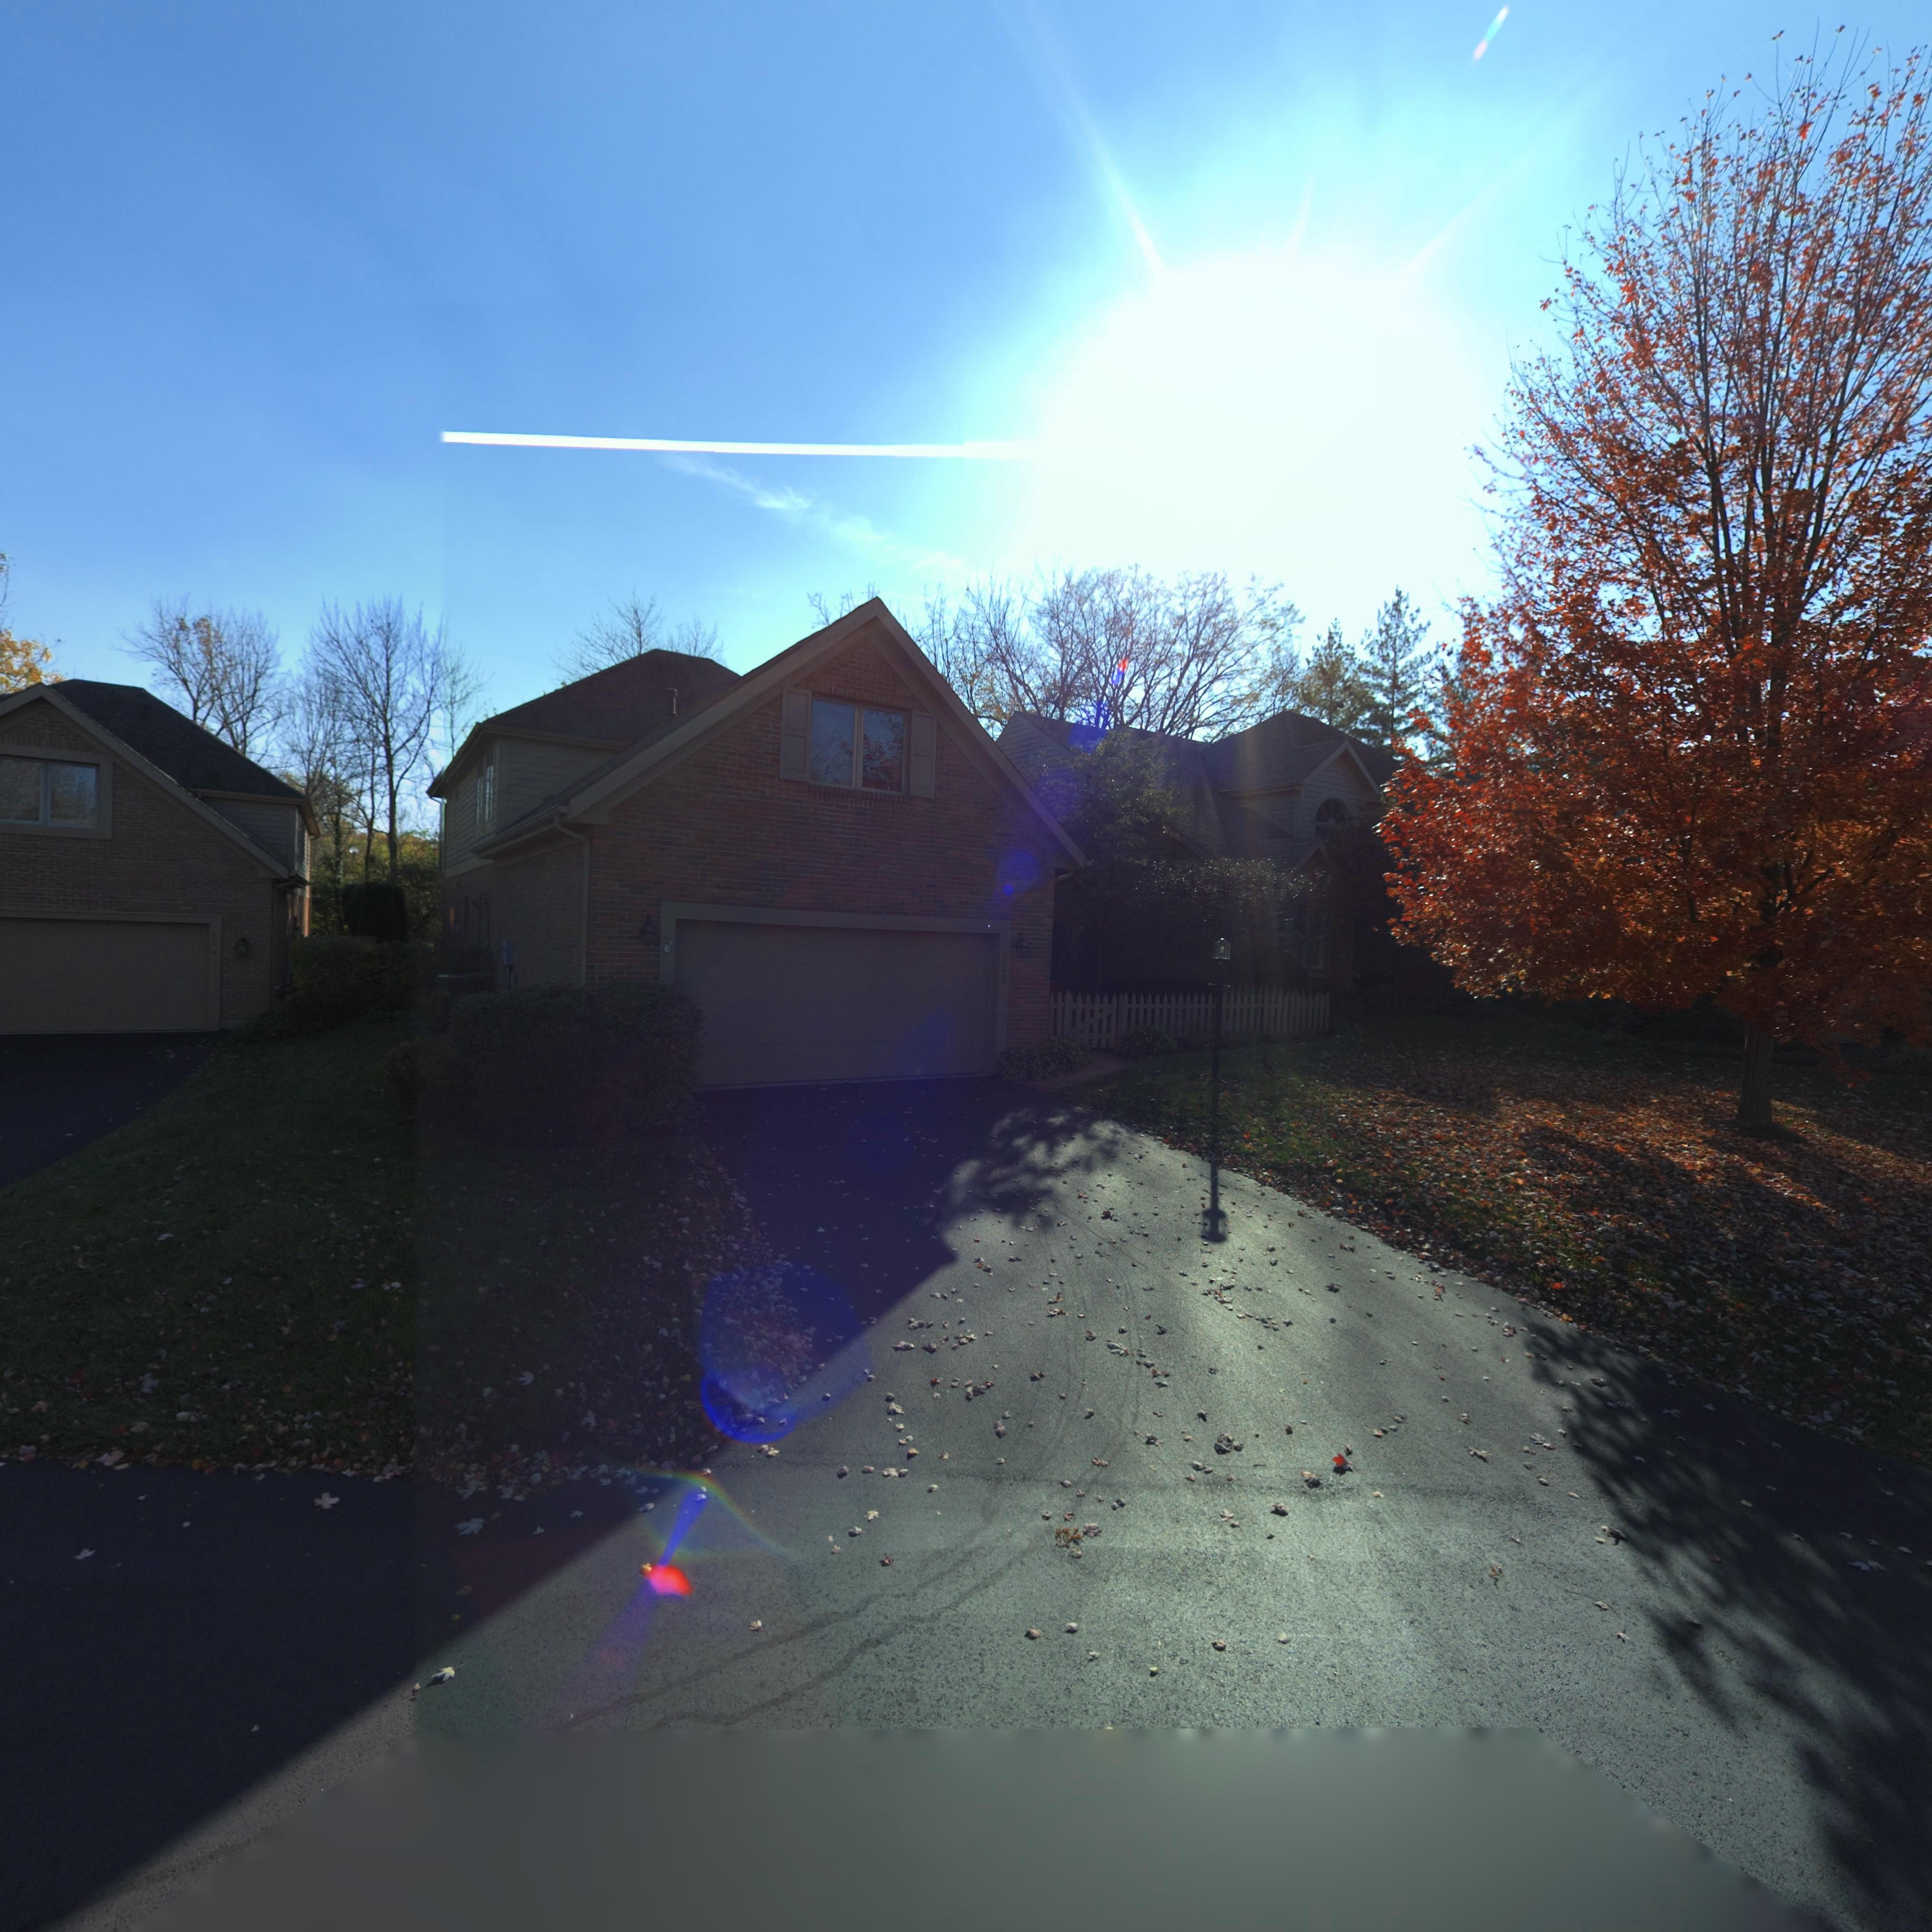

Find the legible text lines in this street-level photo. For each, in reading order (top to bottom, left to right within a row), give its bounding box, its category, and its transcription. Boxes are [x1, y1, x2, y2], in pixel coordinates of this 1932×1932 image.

[1000, 951, 1008, 985] StreetNumber: *12